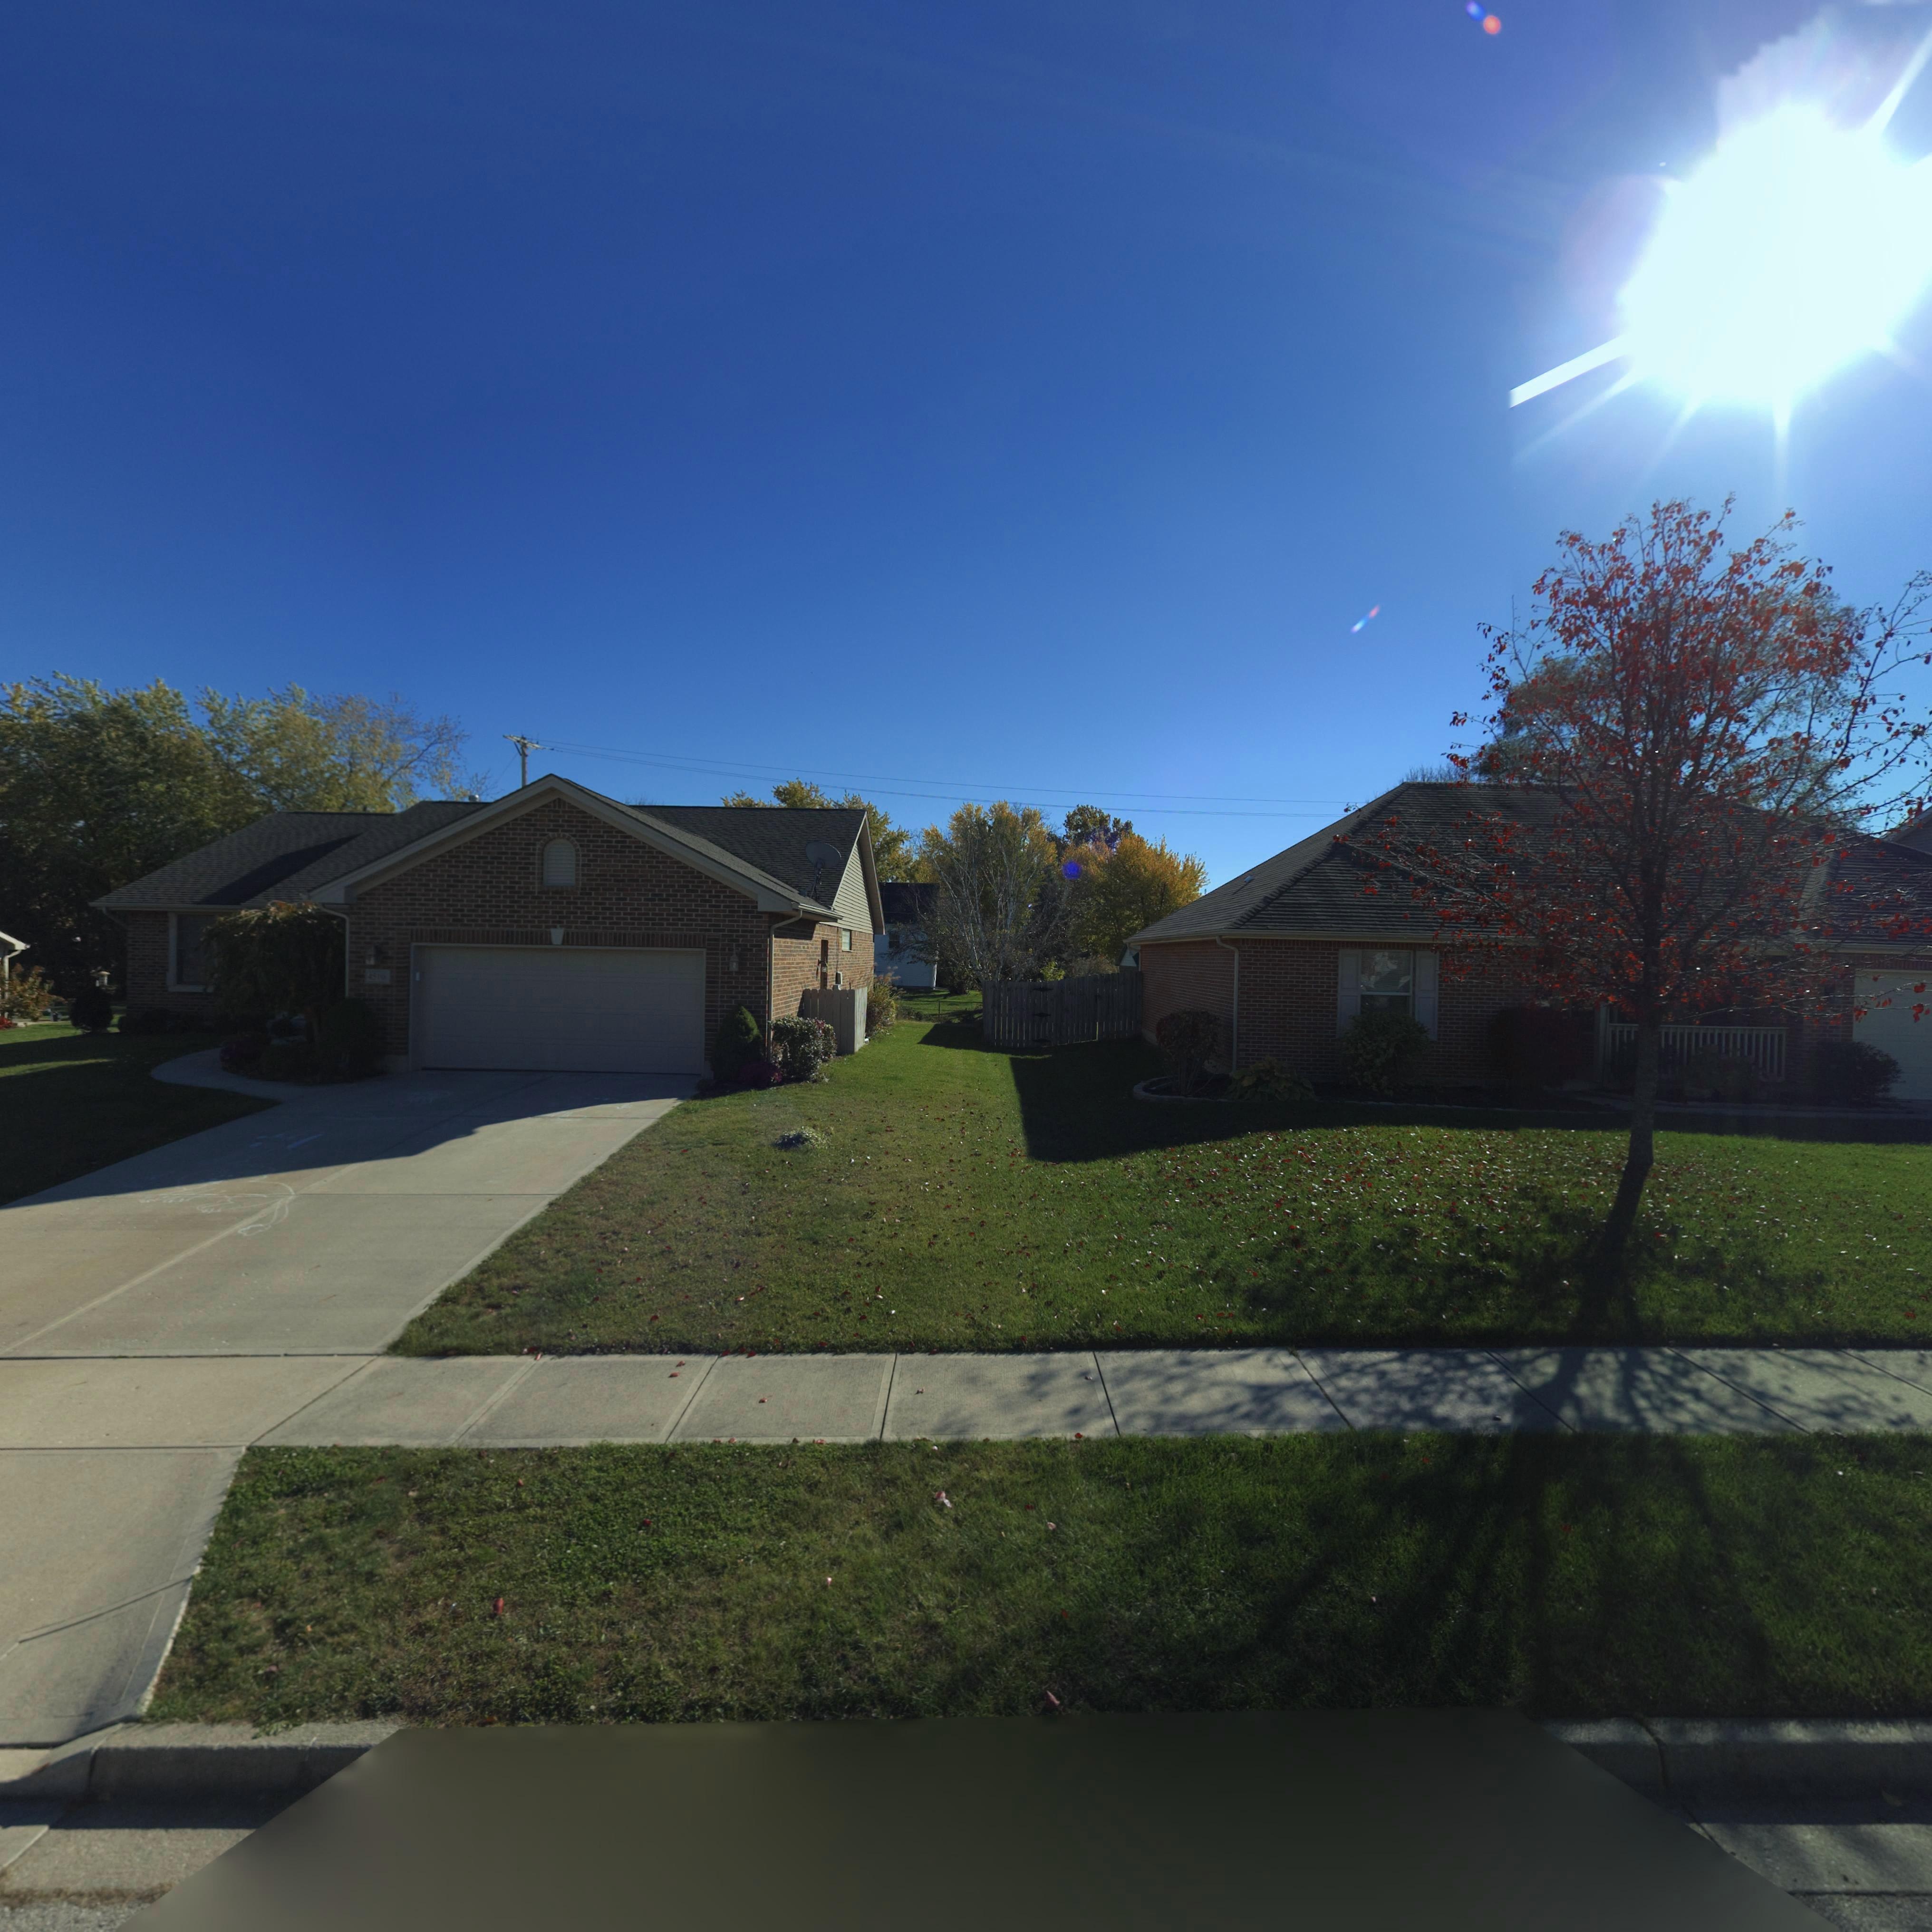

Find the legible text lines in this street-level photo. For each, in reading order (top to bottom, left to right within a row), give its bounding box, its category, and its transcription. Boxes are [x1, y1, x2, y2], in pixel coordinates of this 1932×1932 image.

[367, 971, 388, 982] StreetNumber: 451*